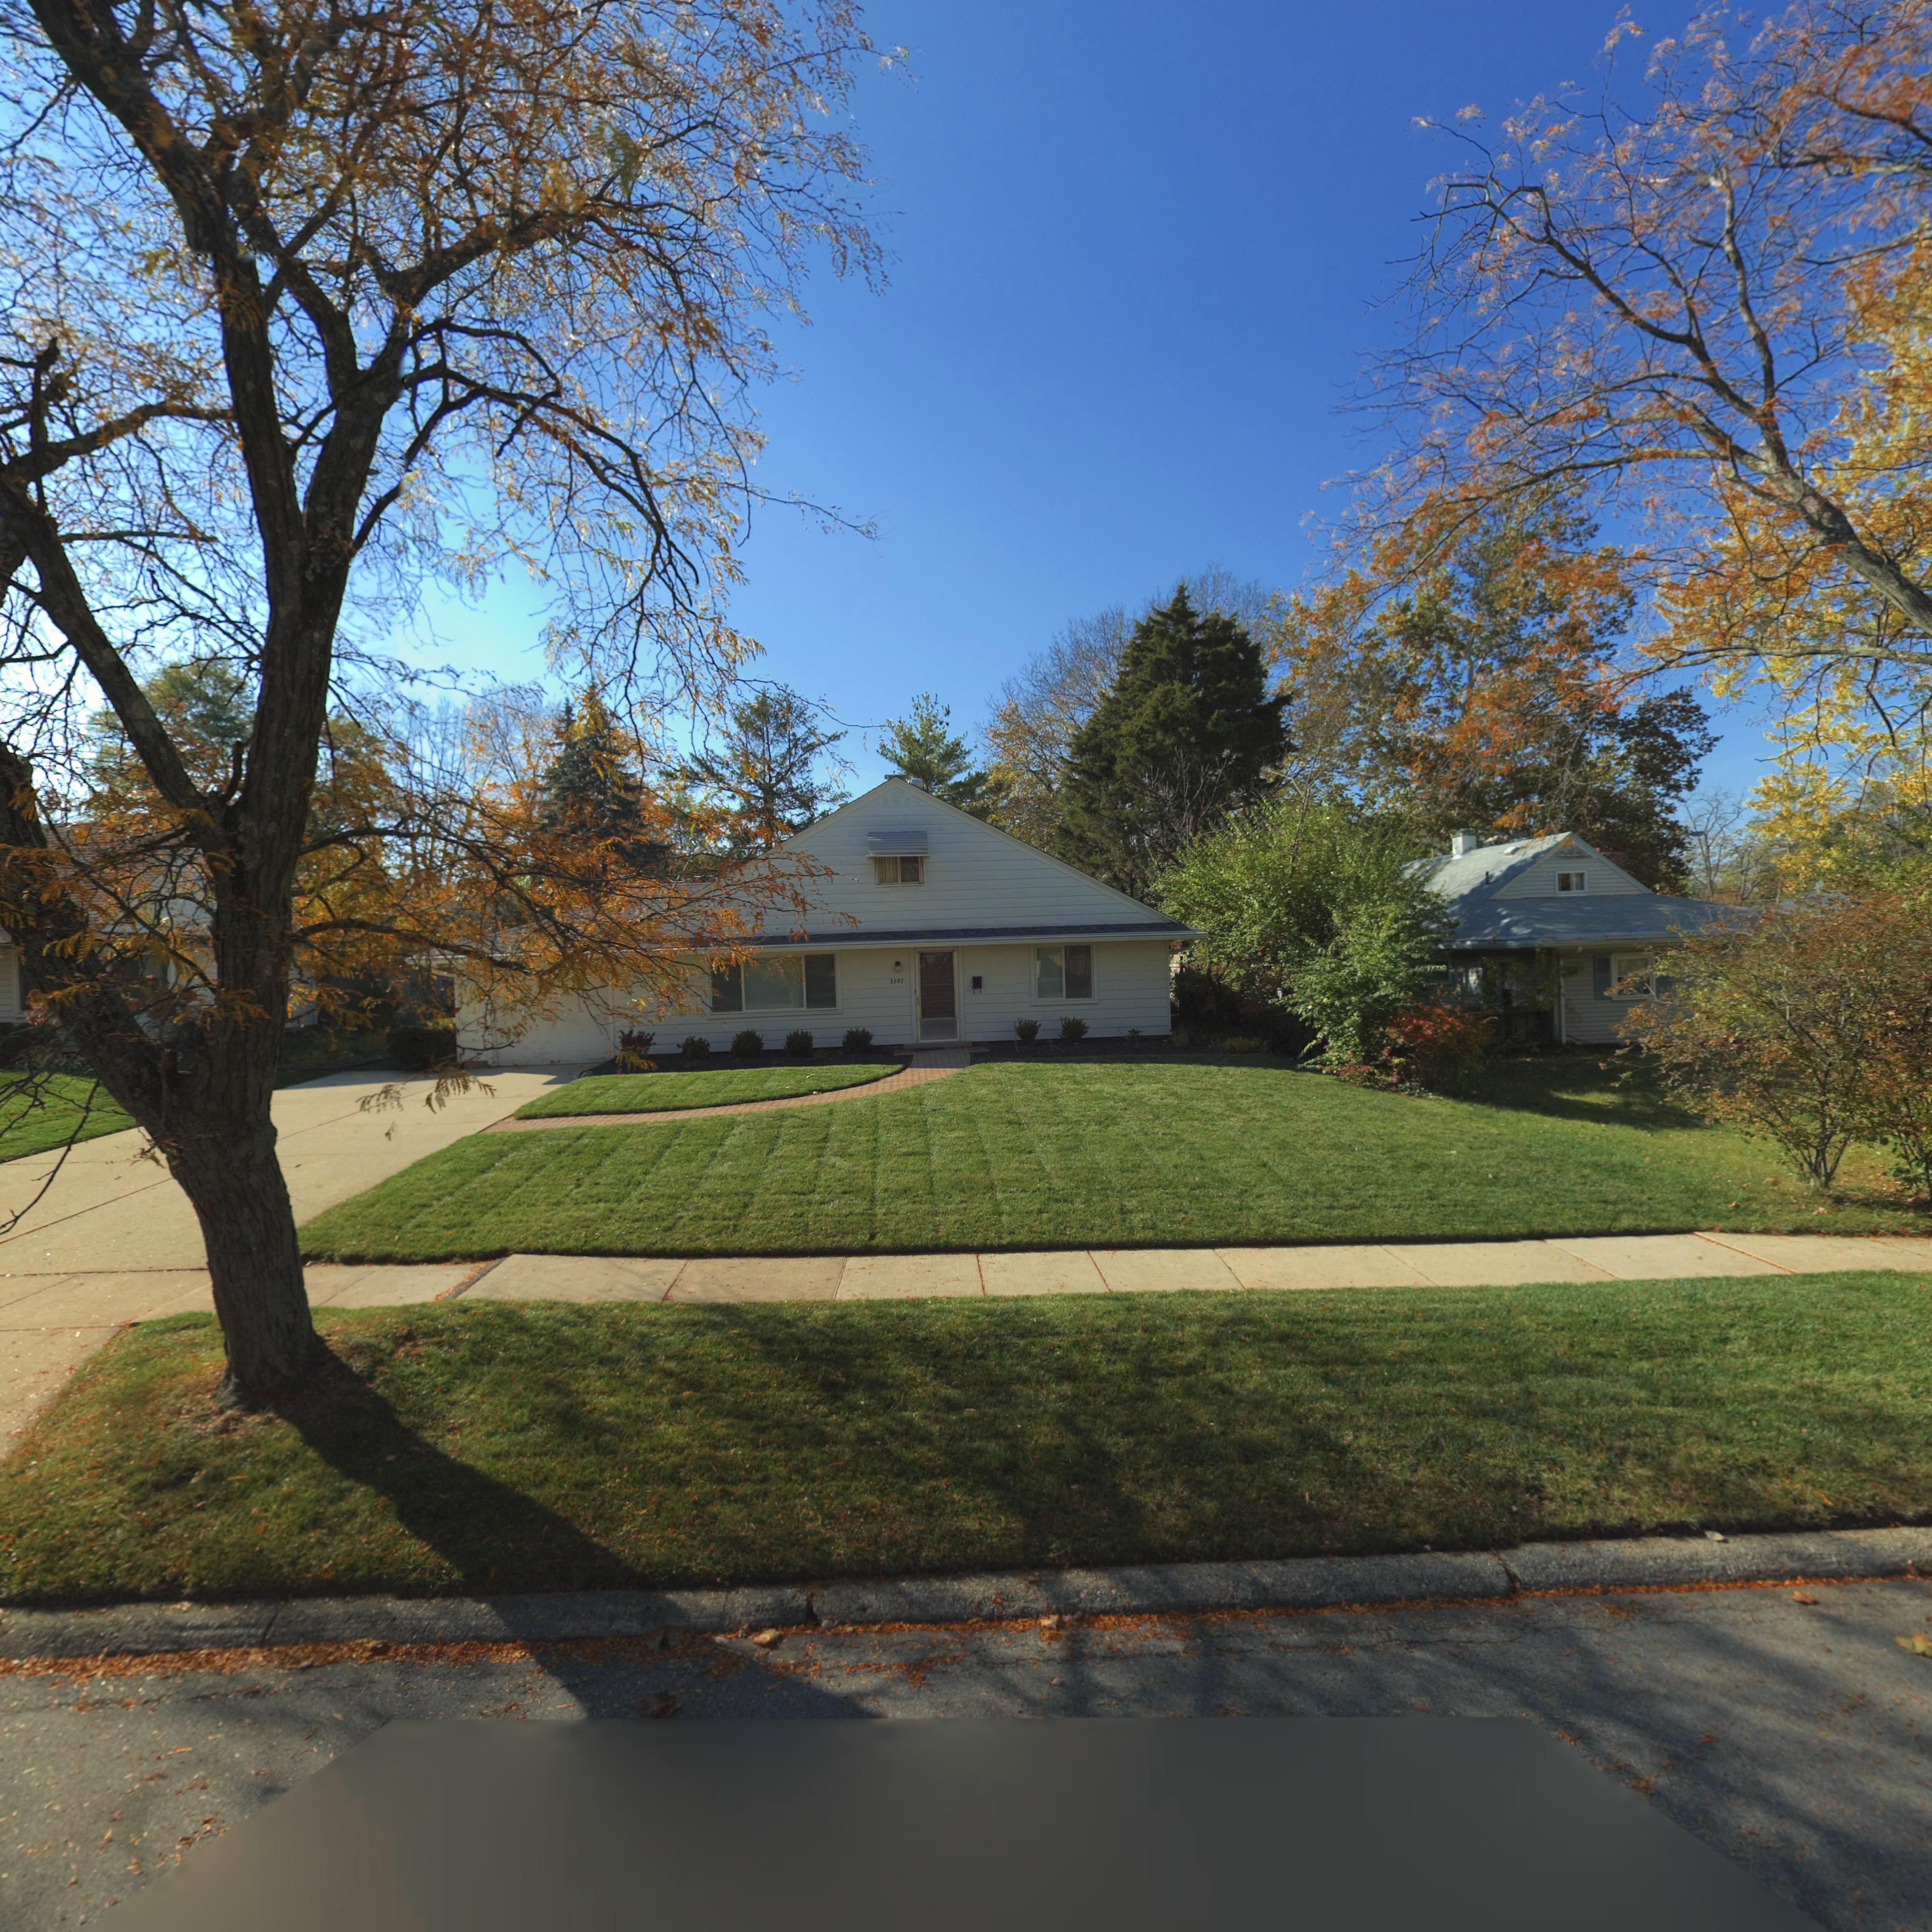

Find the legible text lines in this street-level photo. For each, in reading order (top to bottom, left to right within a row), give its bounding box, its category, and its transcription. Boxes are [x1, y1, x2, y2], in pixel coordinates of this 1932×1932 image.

[889, 978, 905, 985] StreetNumber: 3707